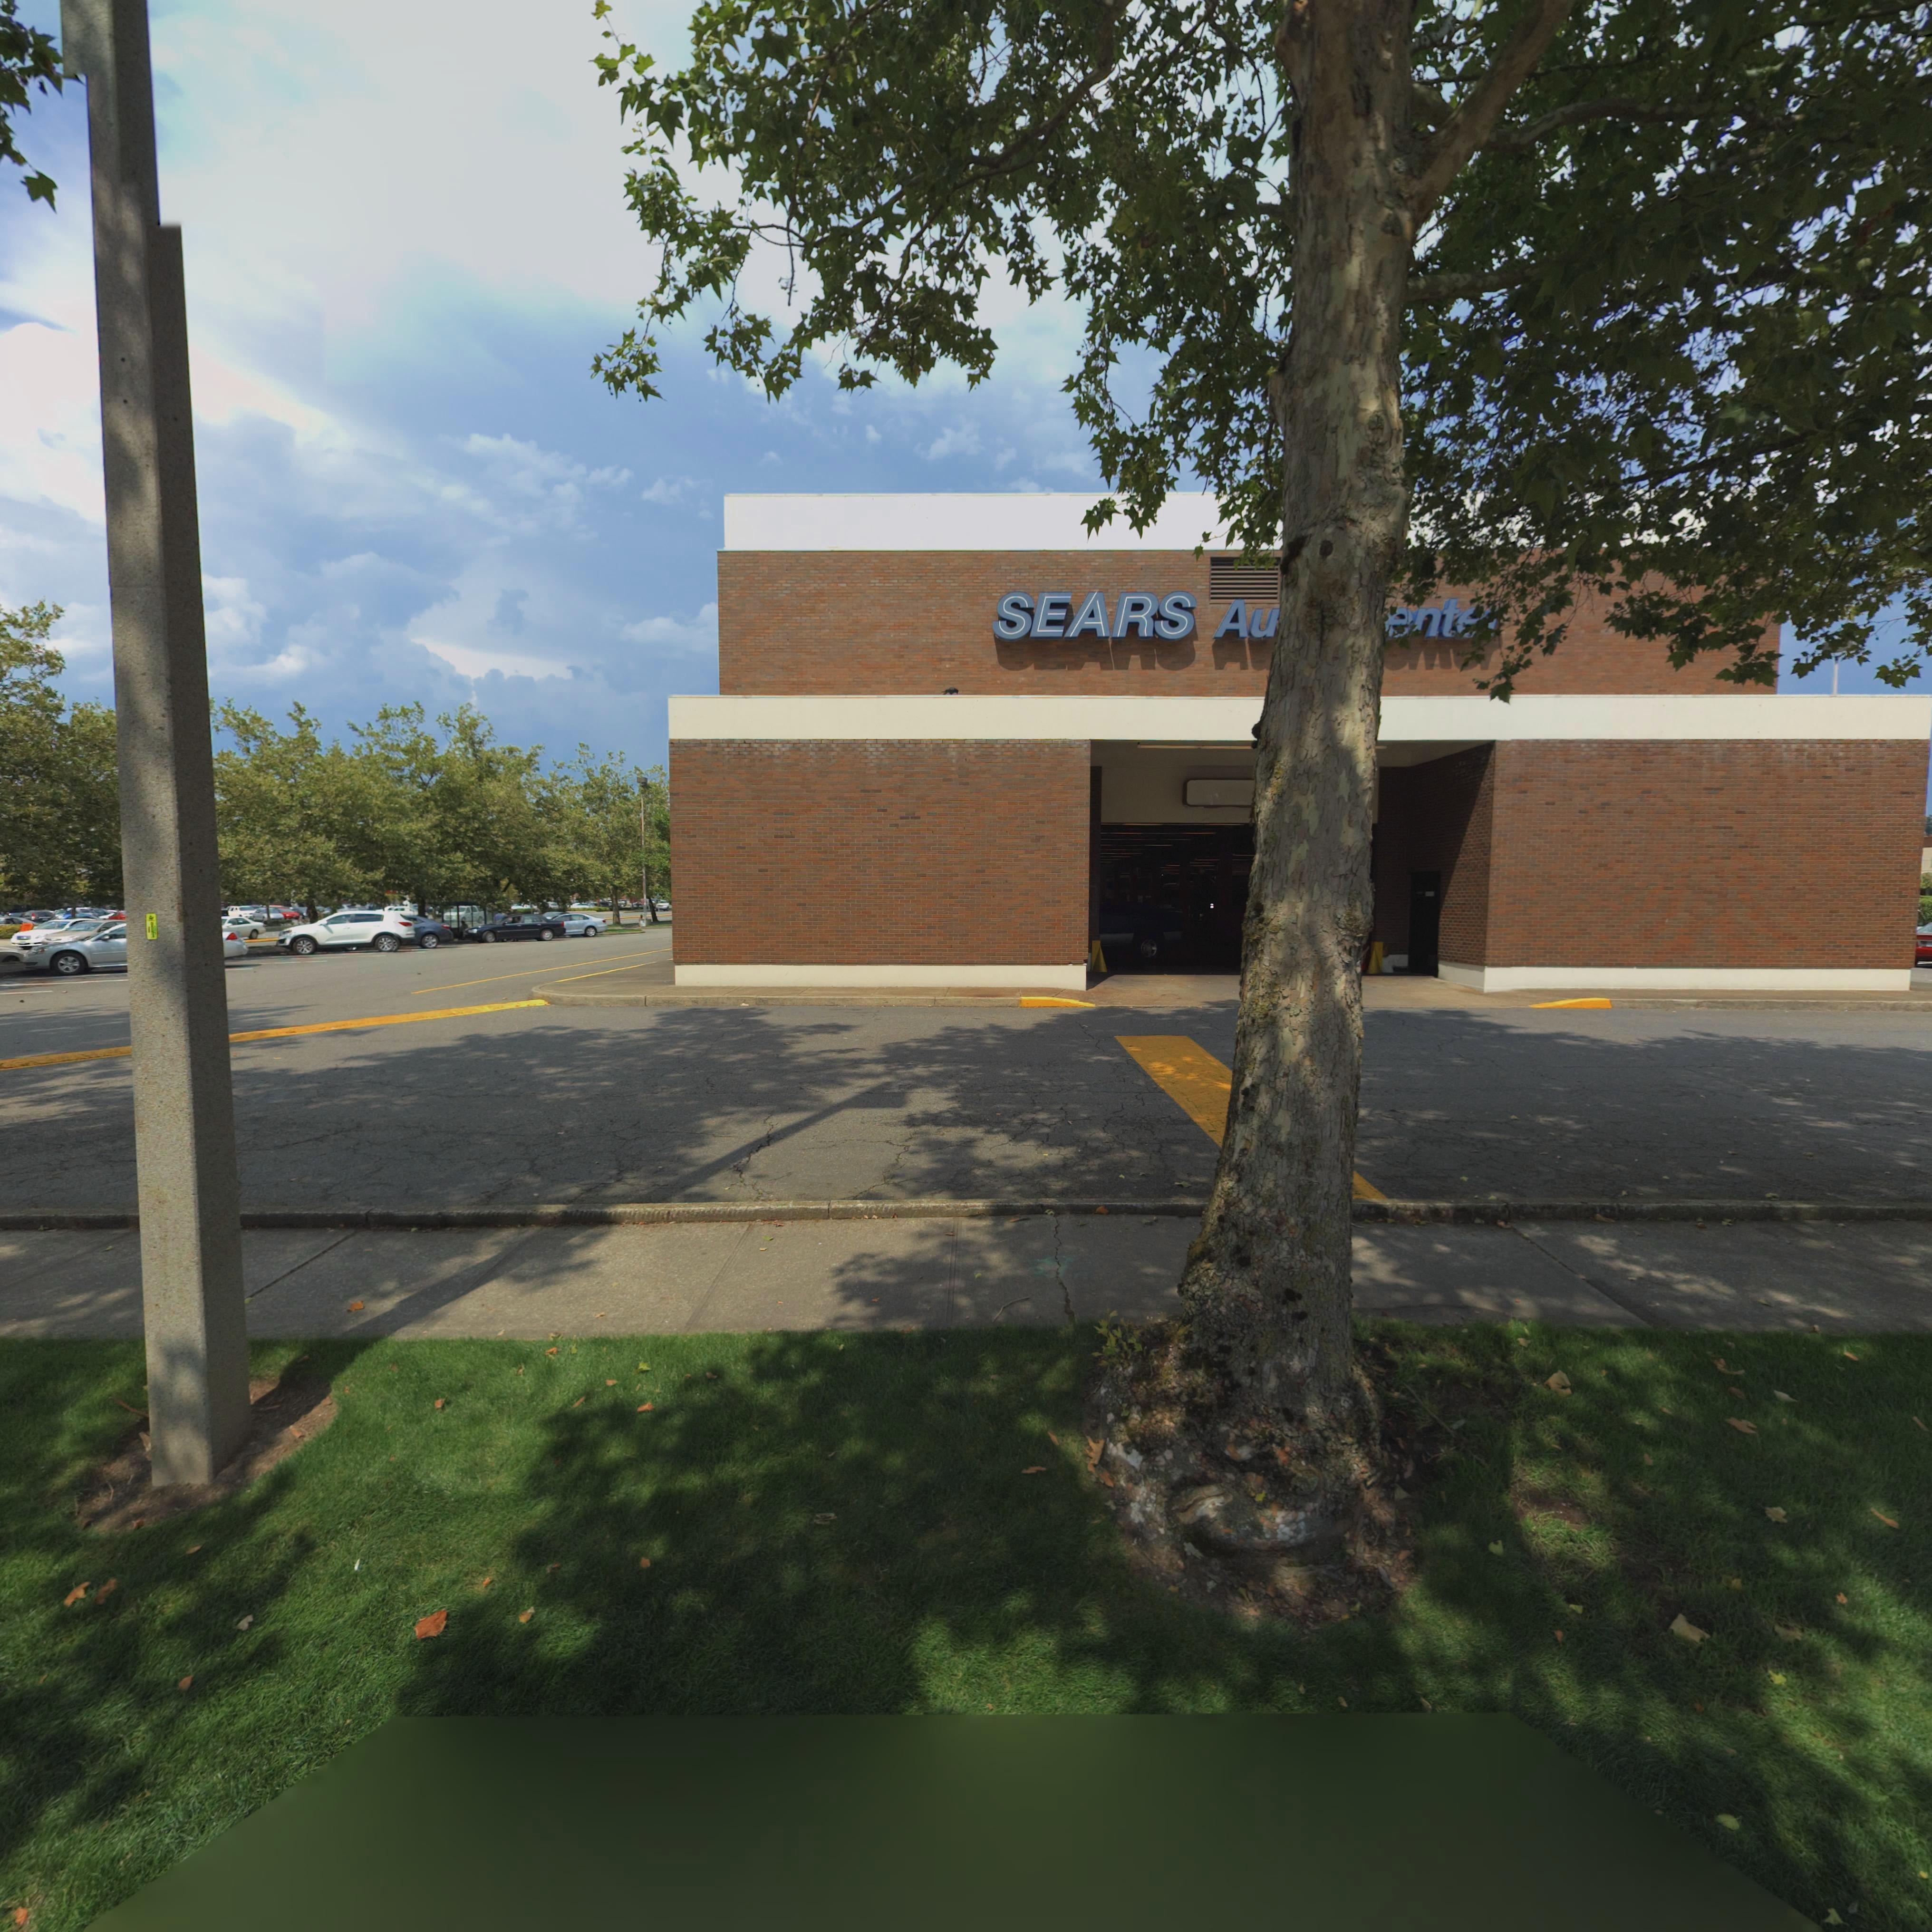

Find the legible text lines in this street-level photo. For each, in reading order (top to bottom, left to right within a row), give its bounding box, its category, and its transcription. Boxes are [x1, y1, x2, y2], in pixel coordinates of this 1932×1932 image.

[990, 588, 1462, 641] BusinessName: SEARS Au** *ent